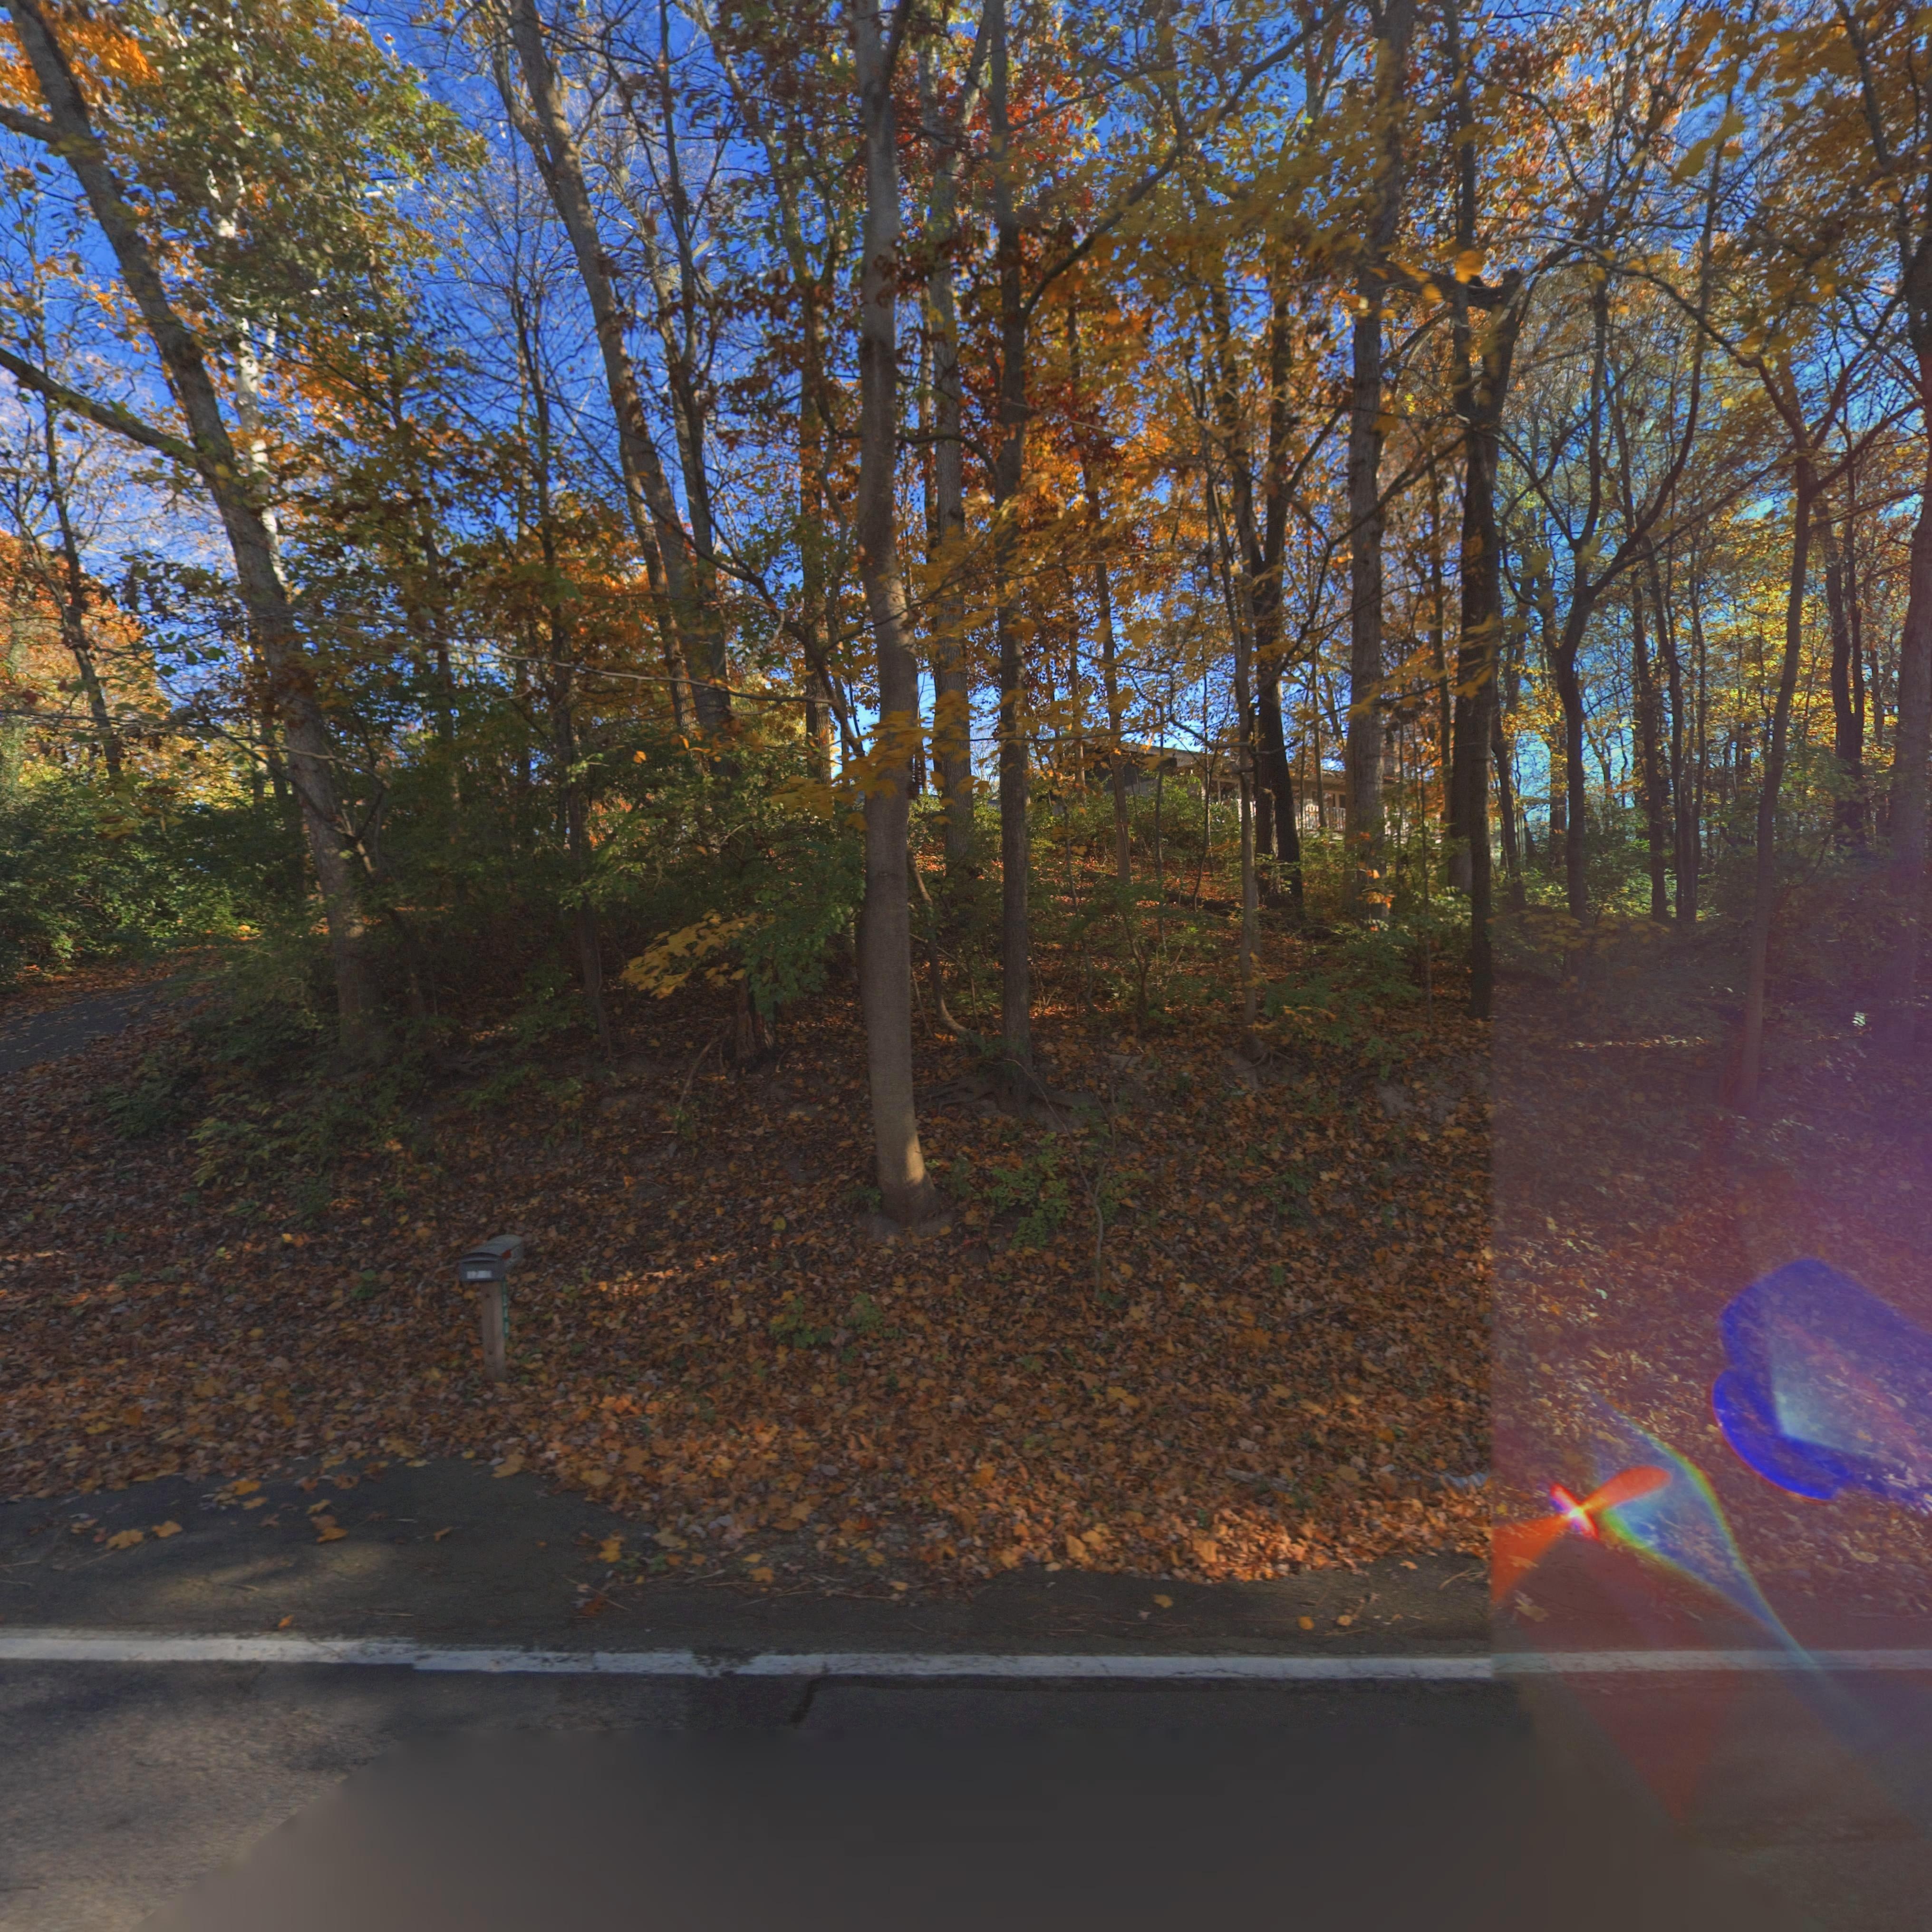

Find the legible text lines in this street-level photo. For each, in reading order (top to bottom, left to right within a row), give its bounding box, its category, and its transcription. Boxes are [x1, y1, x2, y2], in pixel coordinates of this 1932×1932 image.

[502, 1279, 510, 1334] StreetNumber: 1240